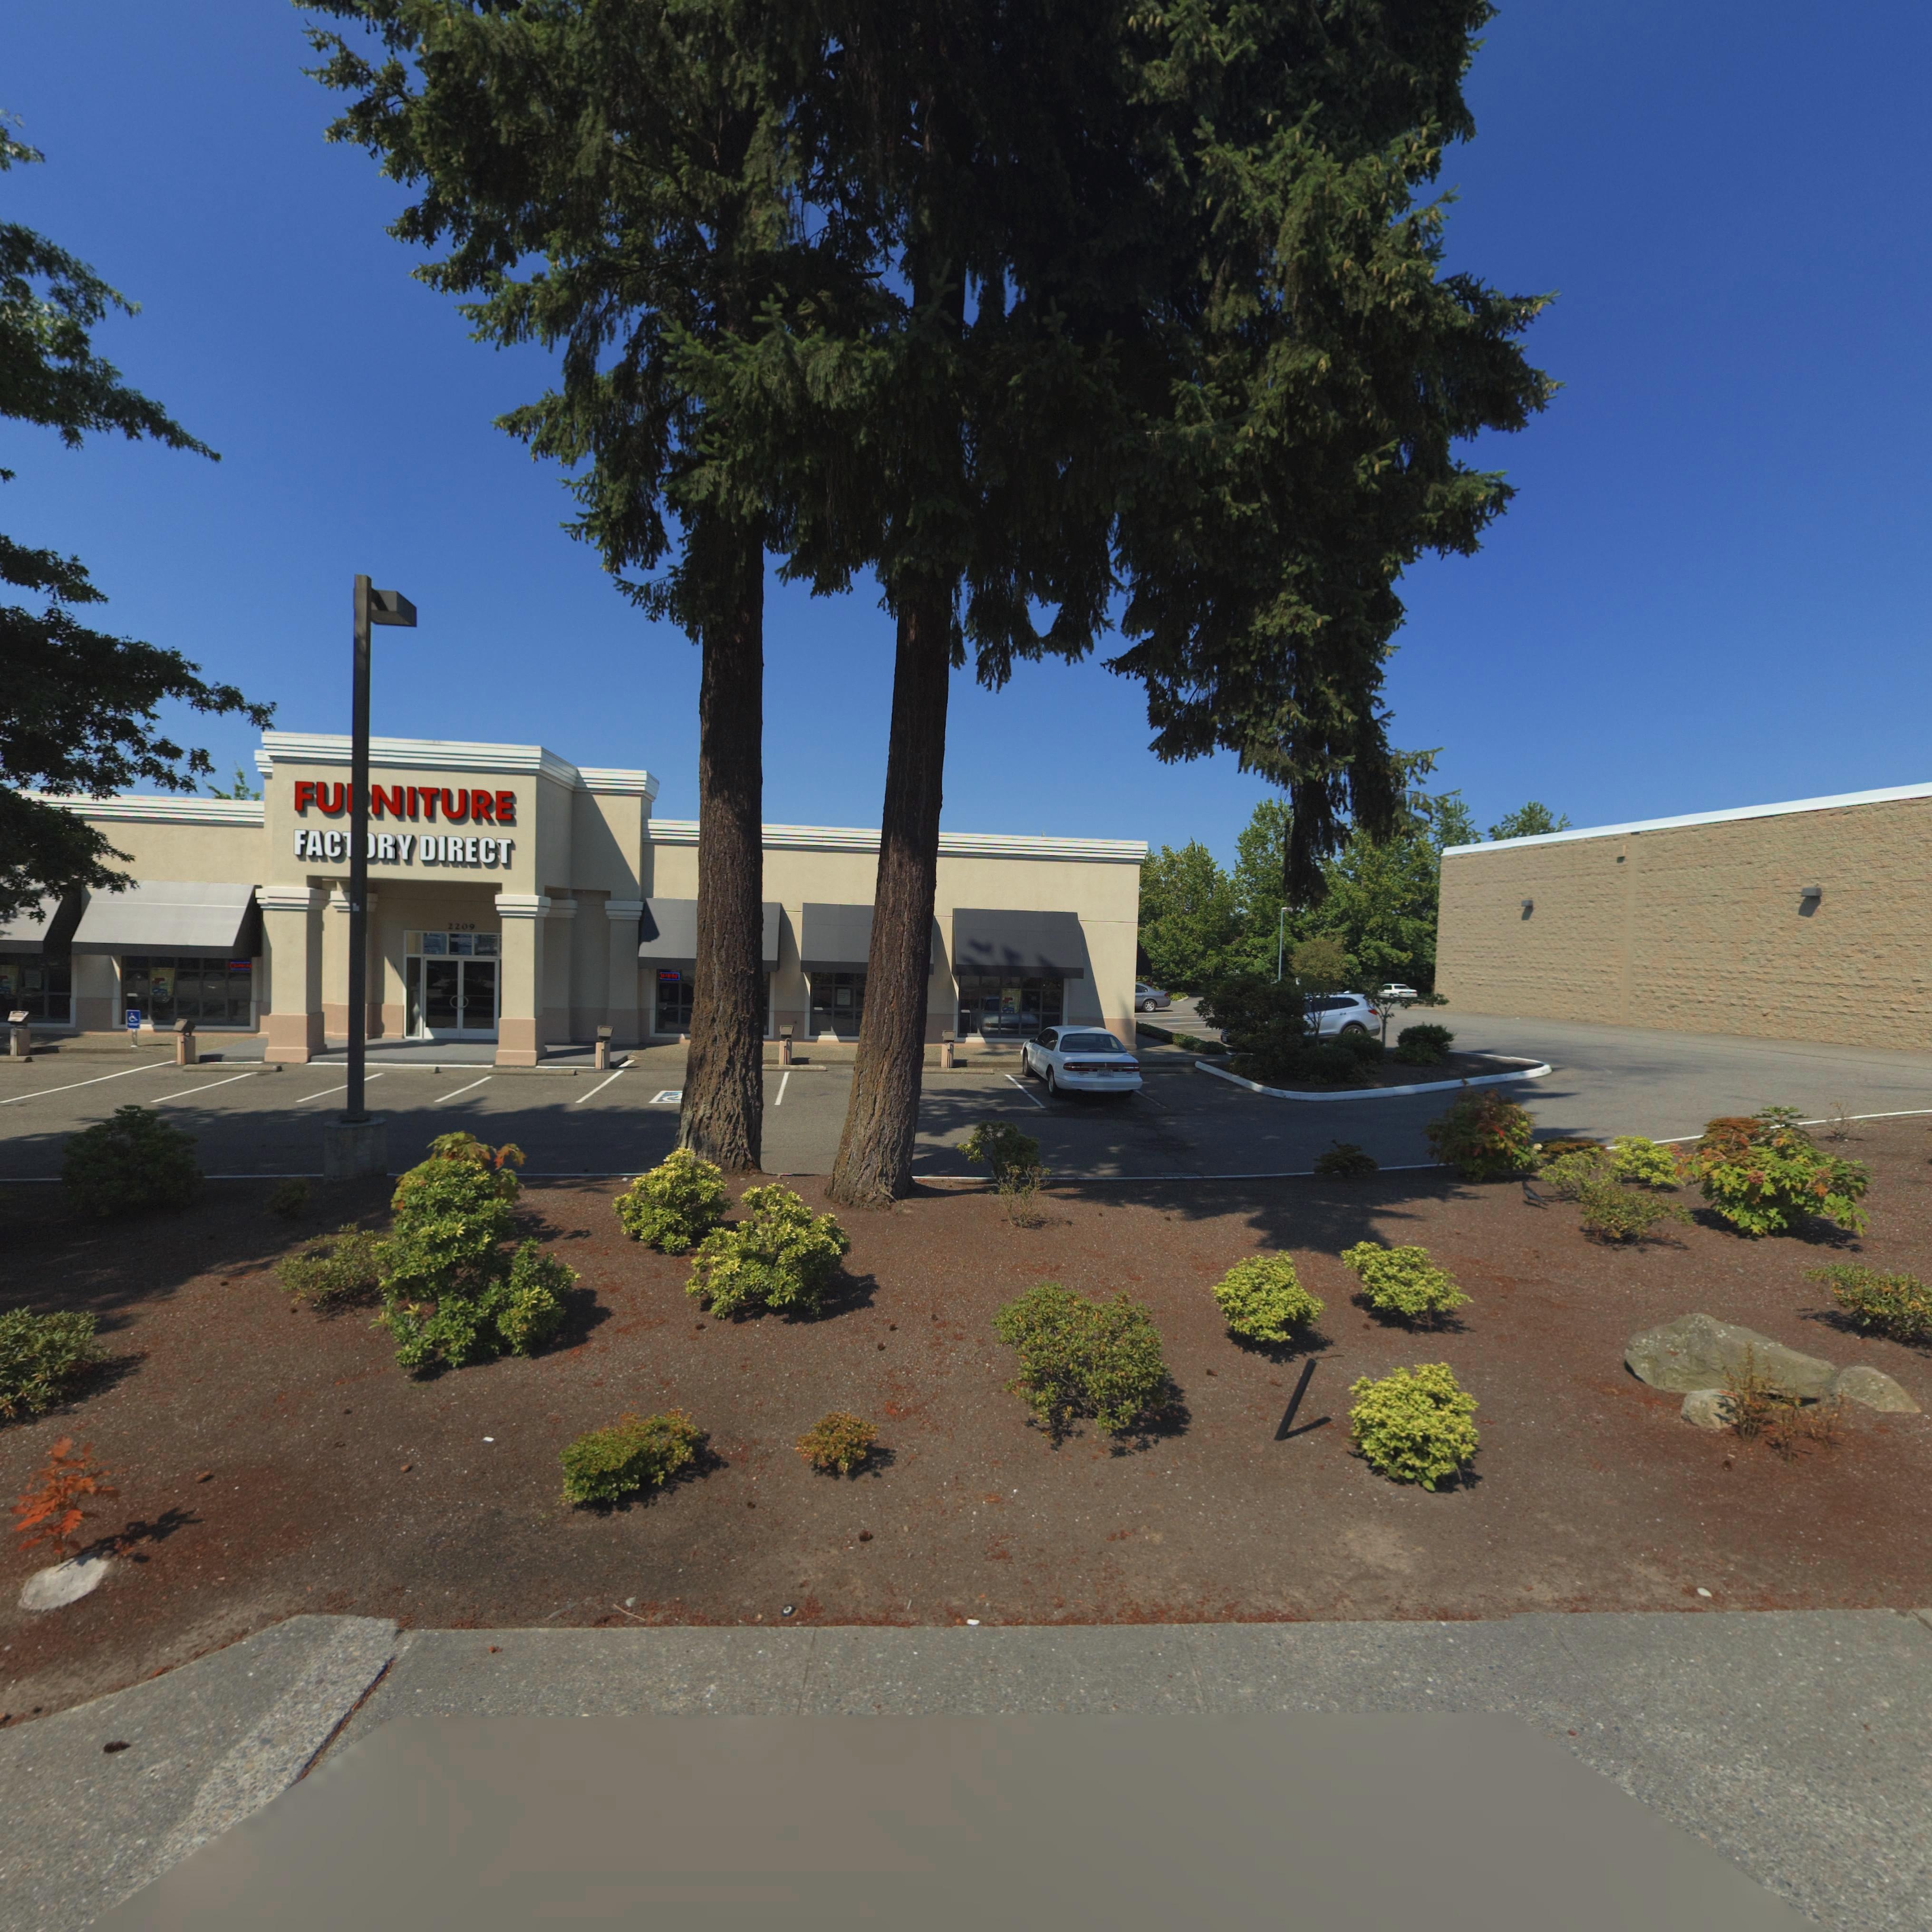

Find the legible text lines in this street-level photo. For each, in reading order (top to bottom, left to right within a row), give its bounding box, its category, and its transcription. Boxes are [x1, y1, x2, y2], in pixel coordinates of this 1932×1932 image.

[293, 779, 513, 821] BusinessName: FU*NITURE
[293, 828, 513, 864] BusinessName: FAC**RY DIRECT
[446, 922, 475, 930] StreetNumber: 2209